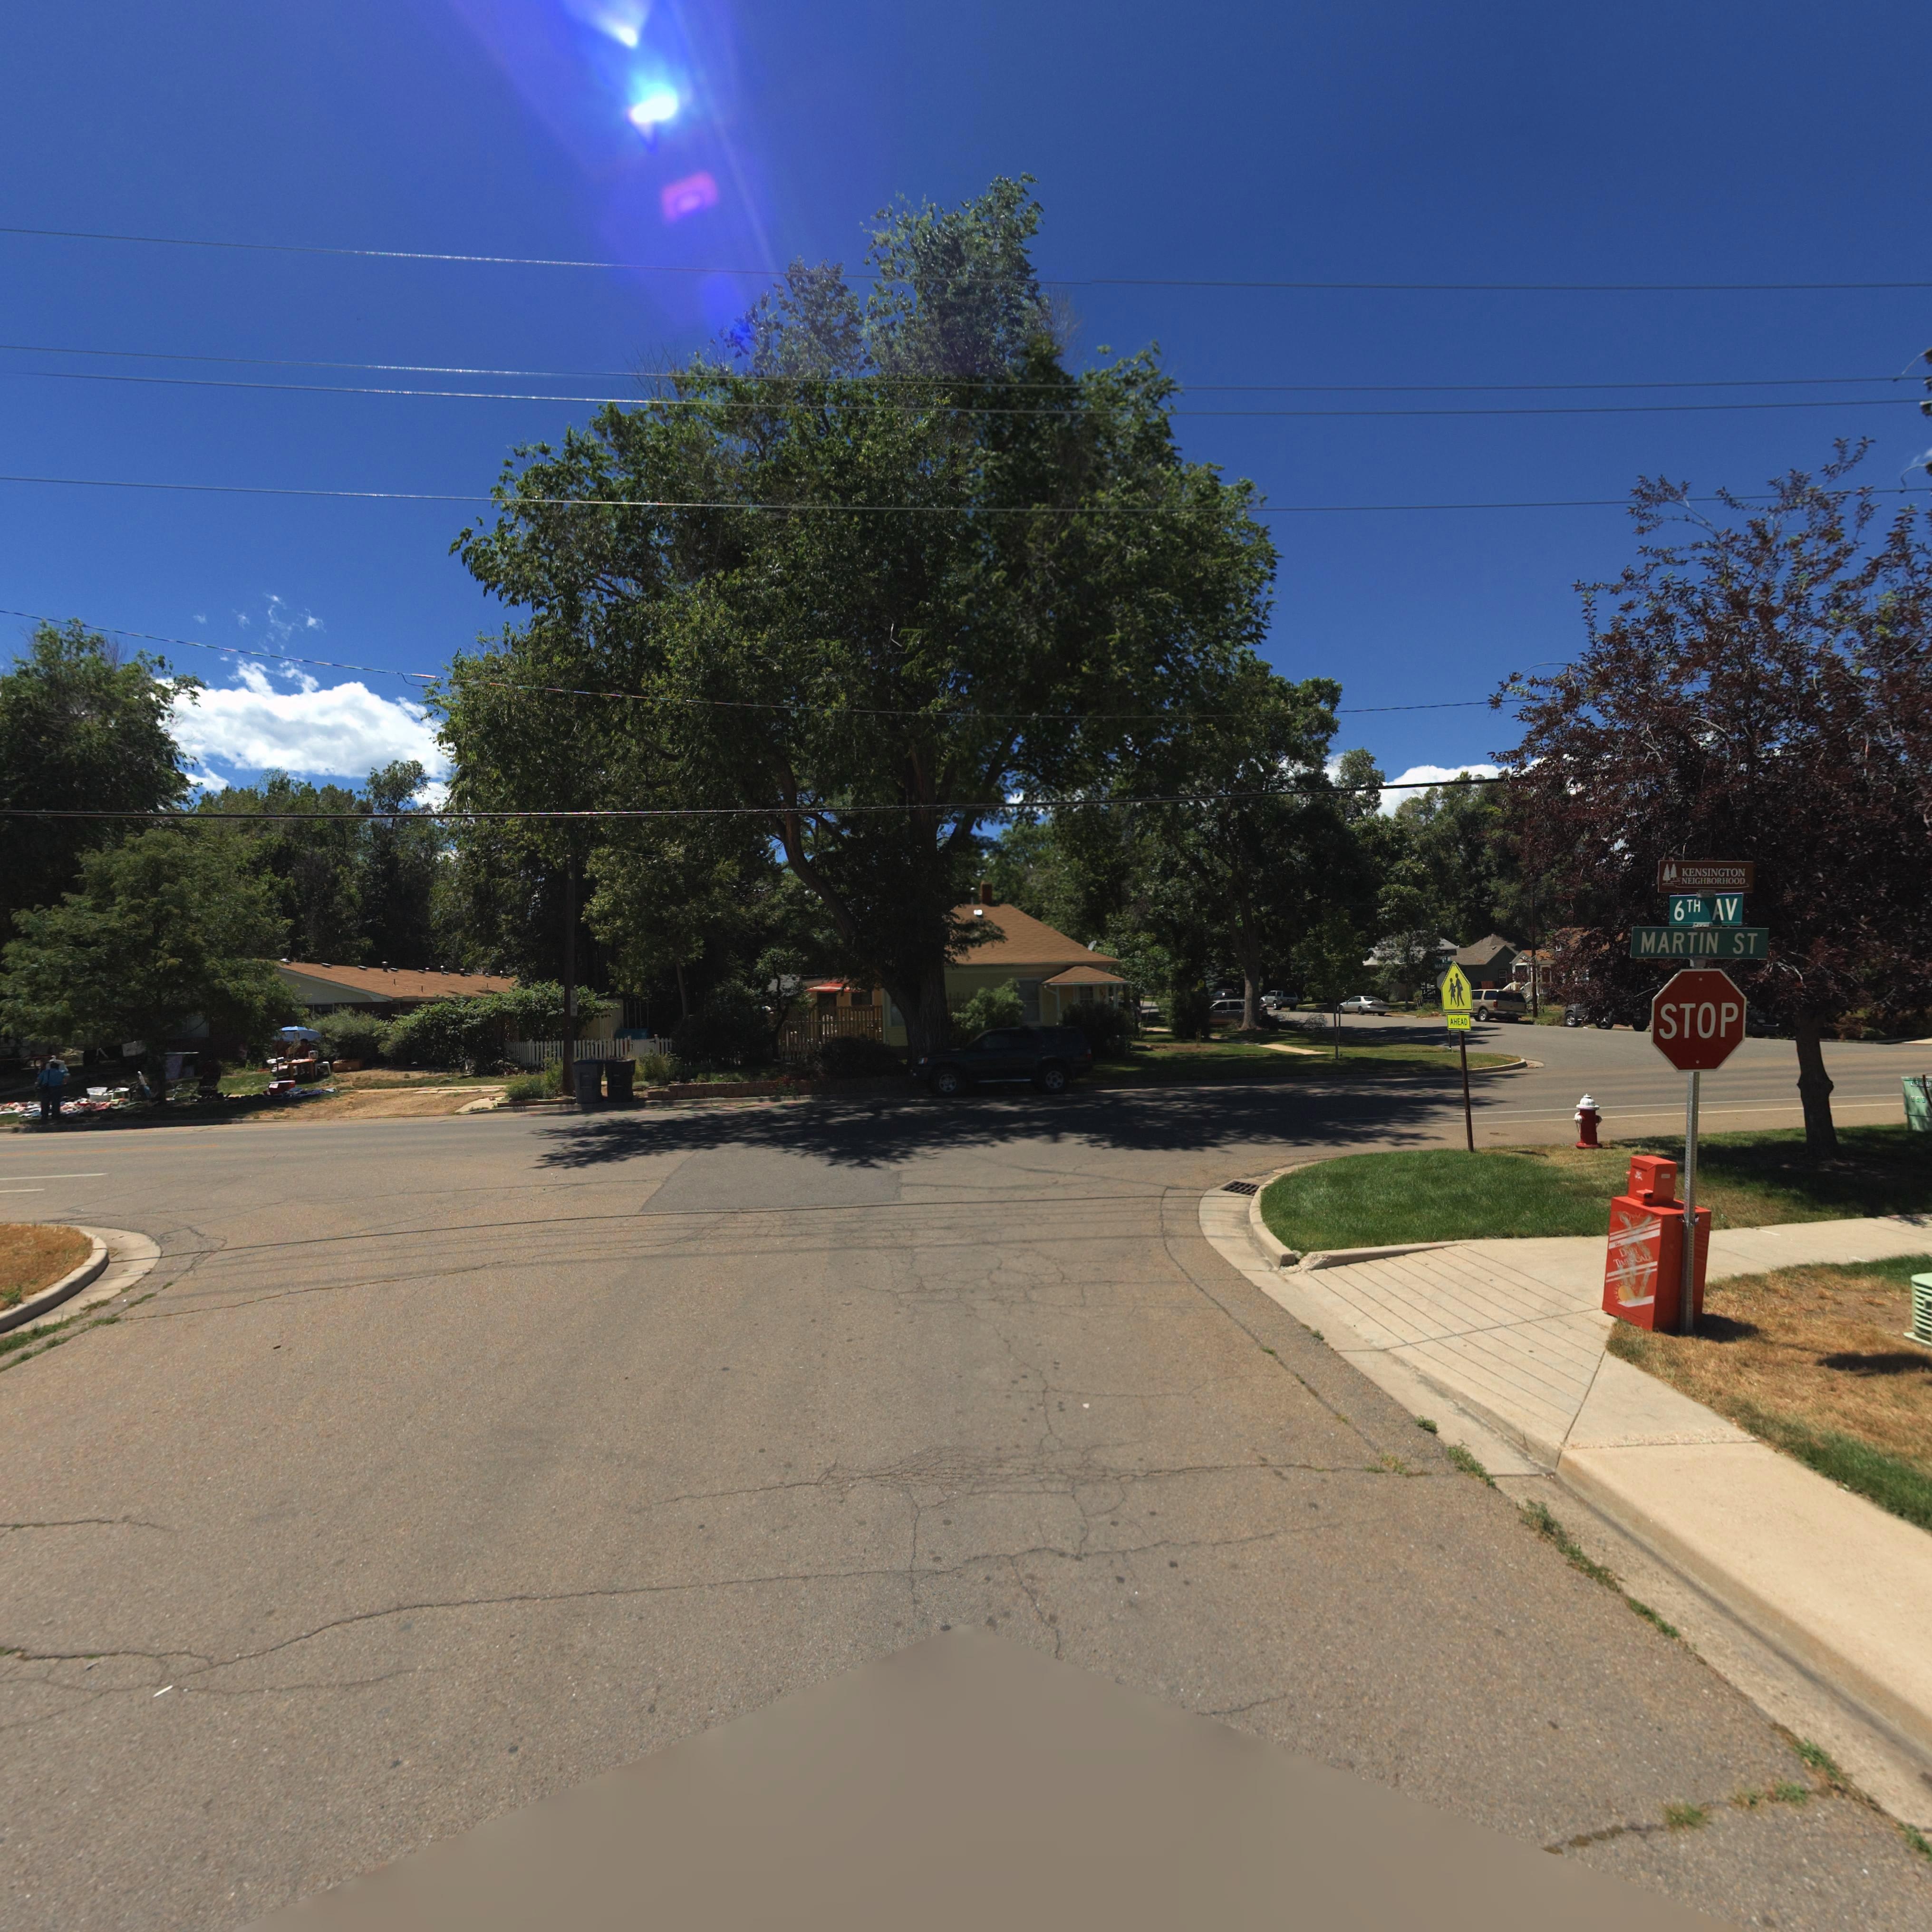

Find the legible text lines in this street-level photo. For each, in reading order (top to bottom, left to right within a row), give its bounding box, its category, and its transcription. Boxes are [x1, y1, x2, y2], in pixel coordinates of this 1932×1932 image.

[1672, 898, 1739, 922] StreetName: 6TH AV
[1640, 931, 1758, 955] StreetName: MARTIN ST